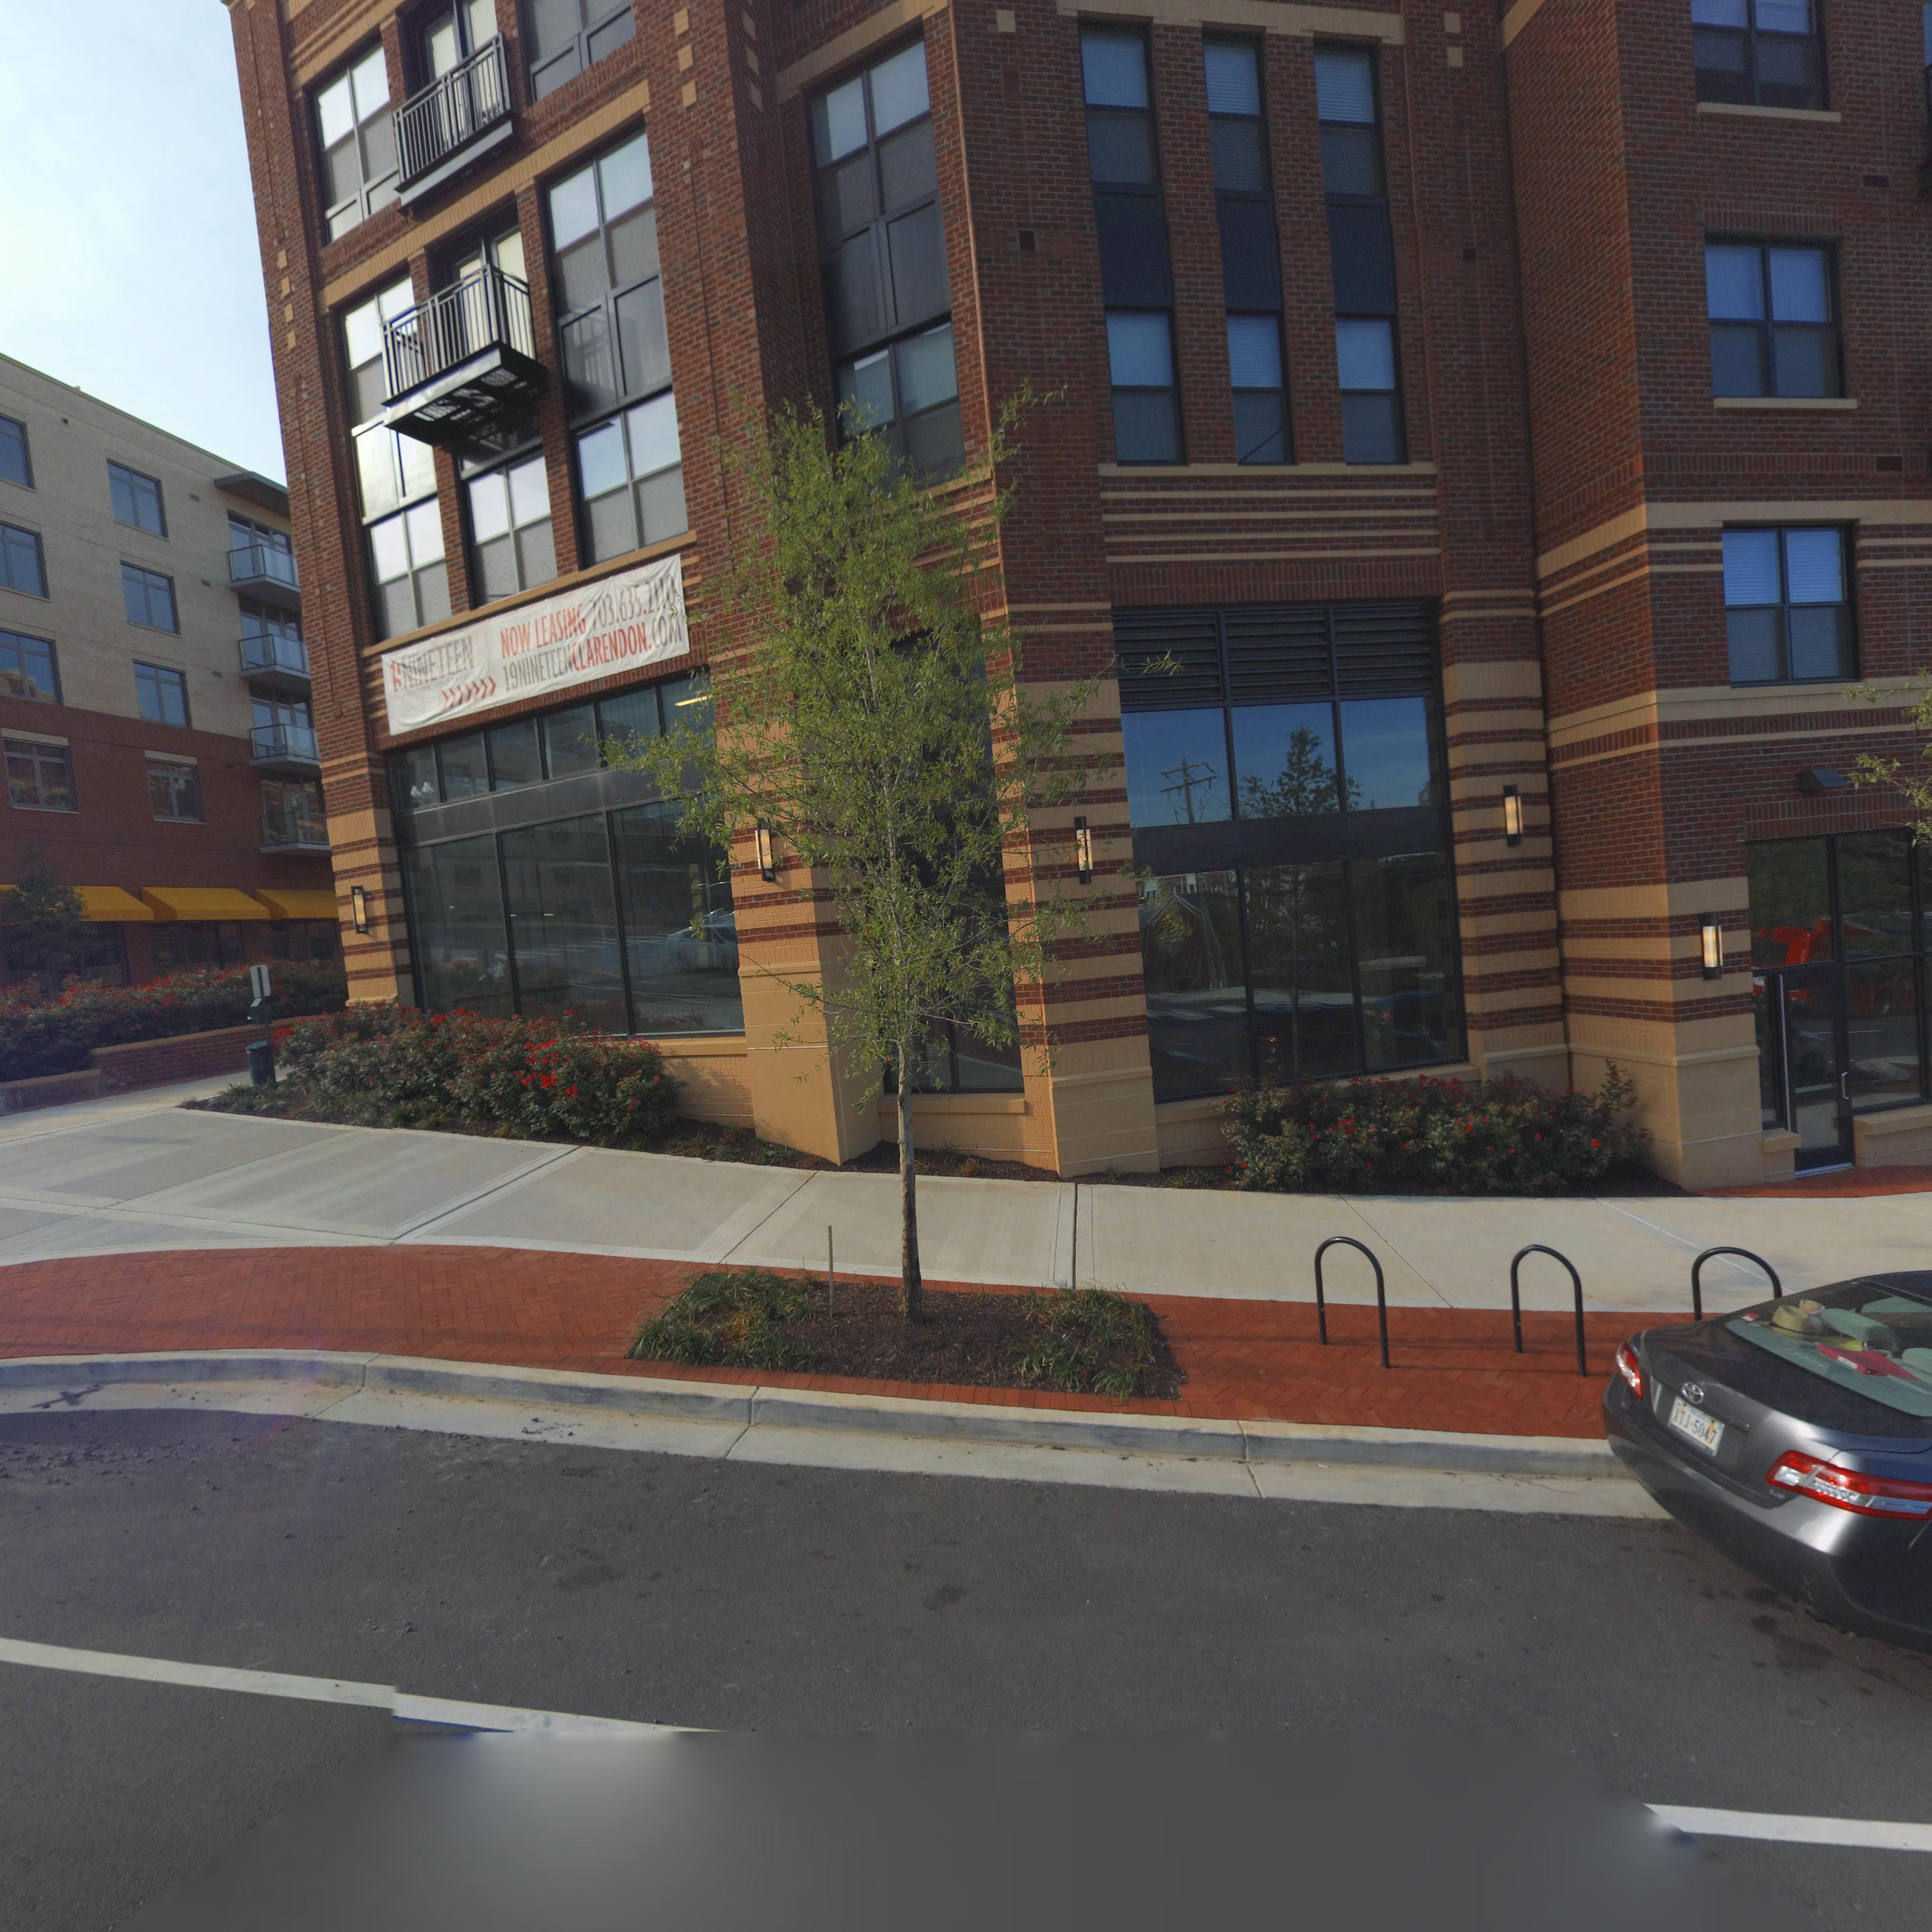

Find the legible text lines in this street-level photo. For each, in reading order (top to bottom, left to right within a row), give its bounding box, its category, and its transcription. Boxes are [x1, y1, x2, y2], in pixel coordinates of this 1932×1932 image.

[398, 630, 478, 693] None: NiNETEEN
[497, 569, 679, 663] None: NOW LEASING 703.635.2110
[500, 607, 686, 696] None: 19NINETEENCLARENDON.COM
[1670, 1405, 1721, 1448] None: XTJ-5047